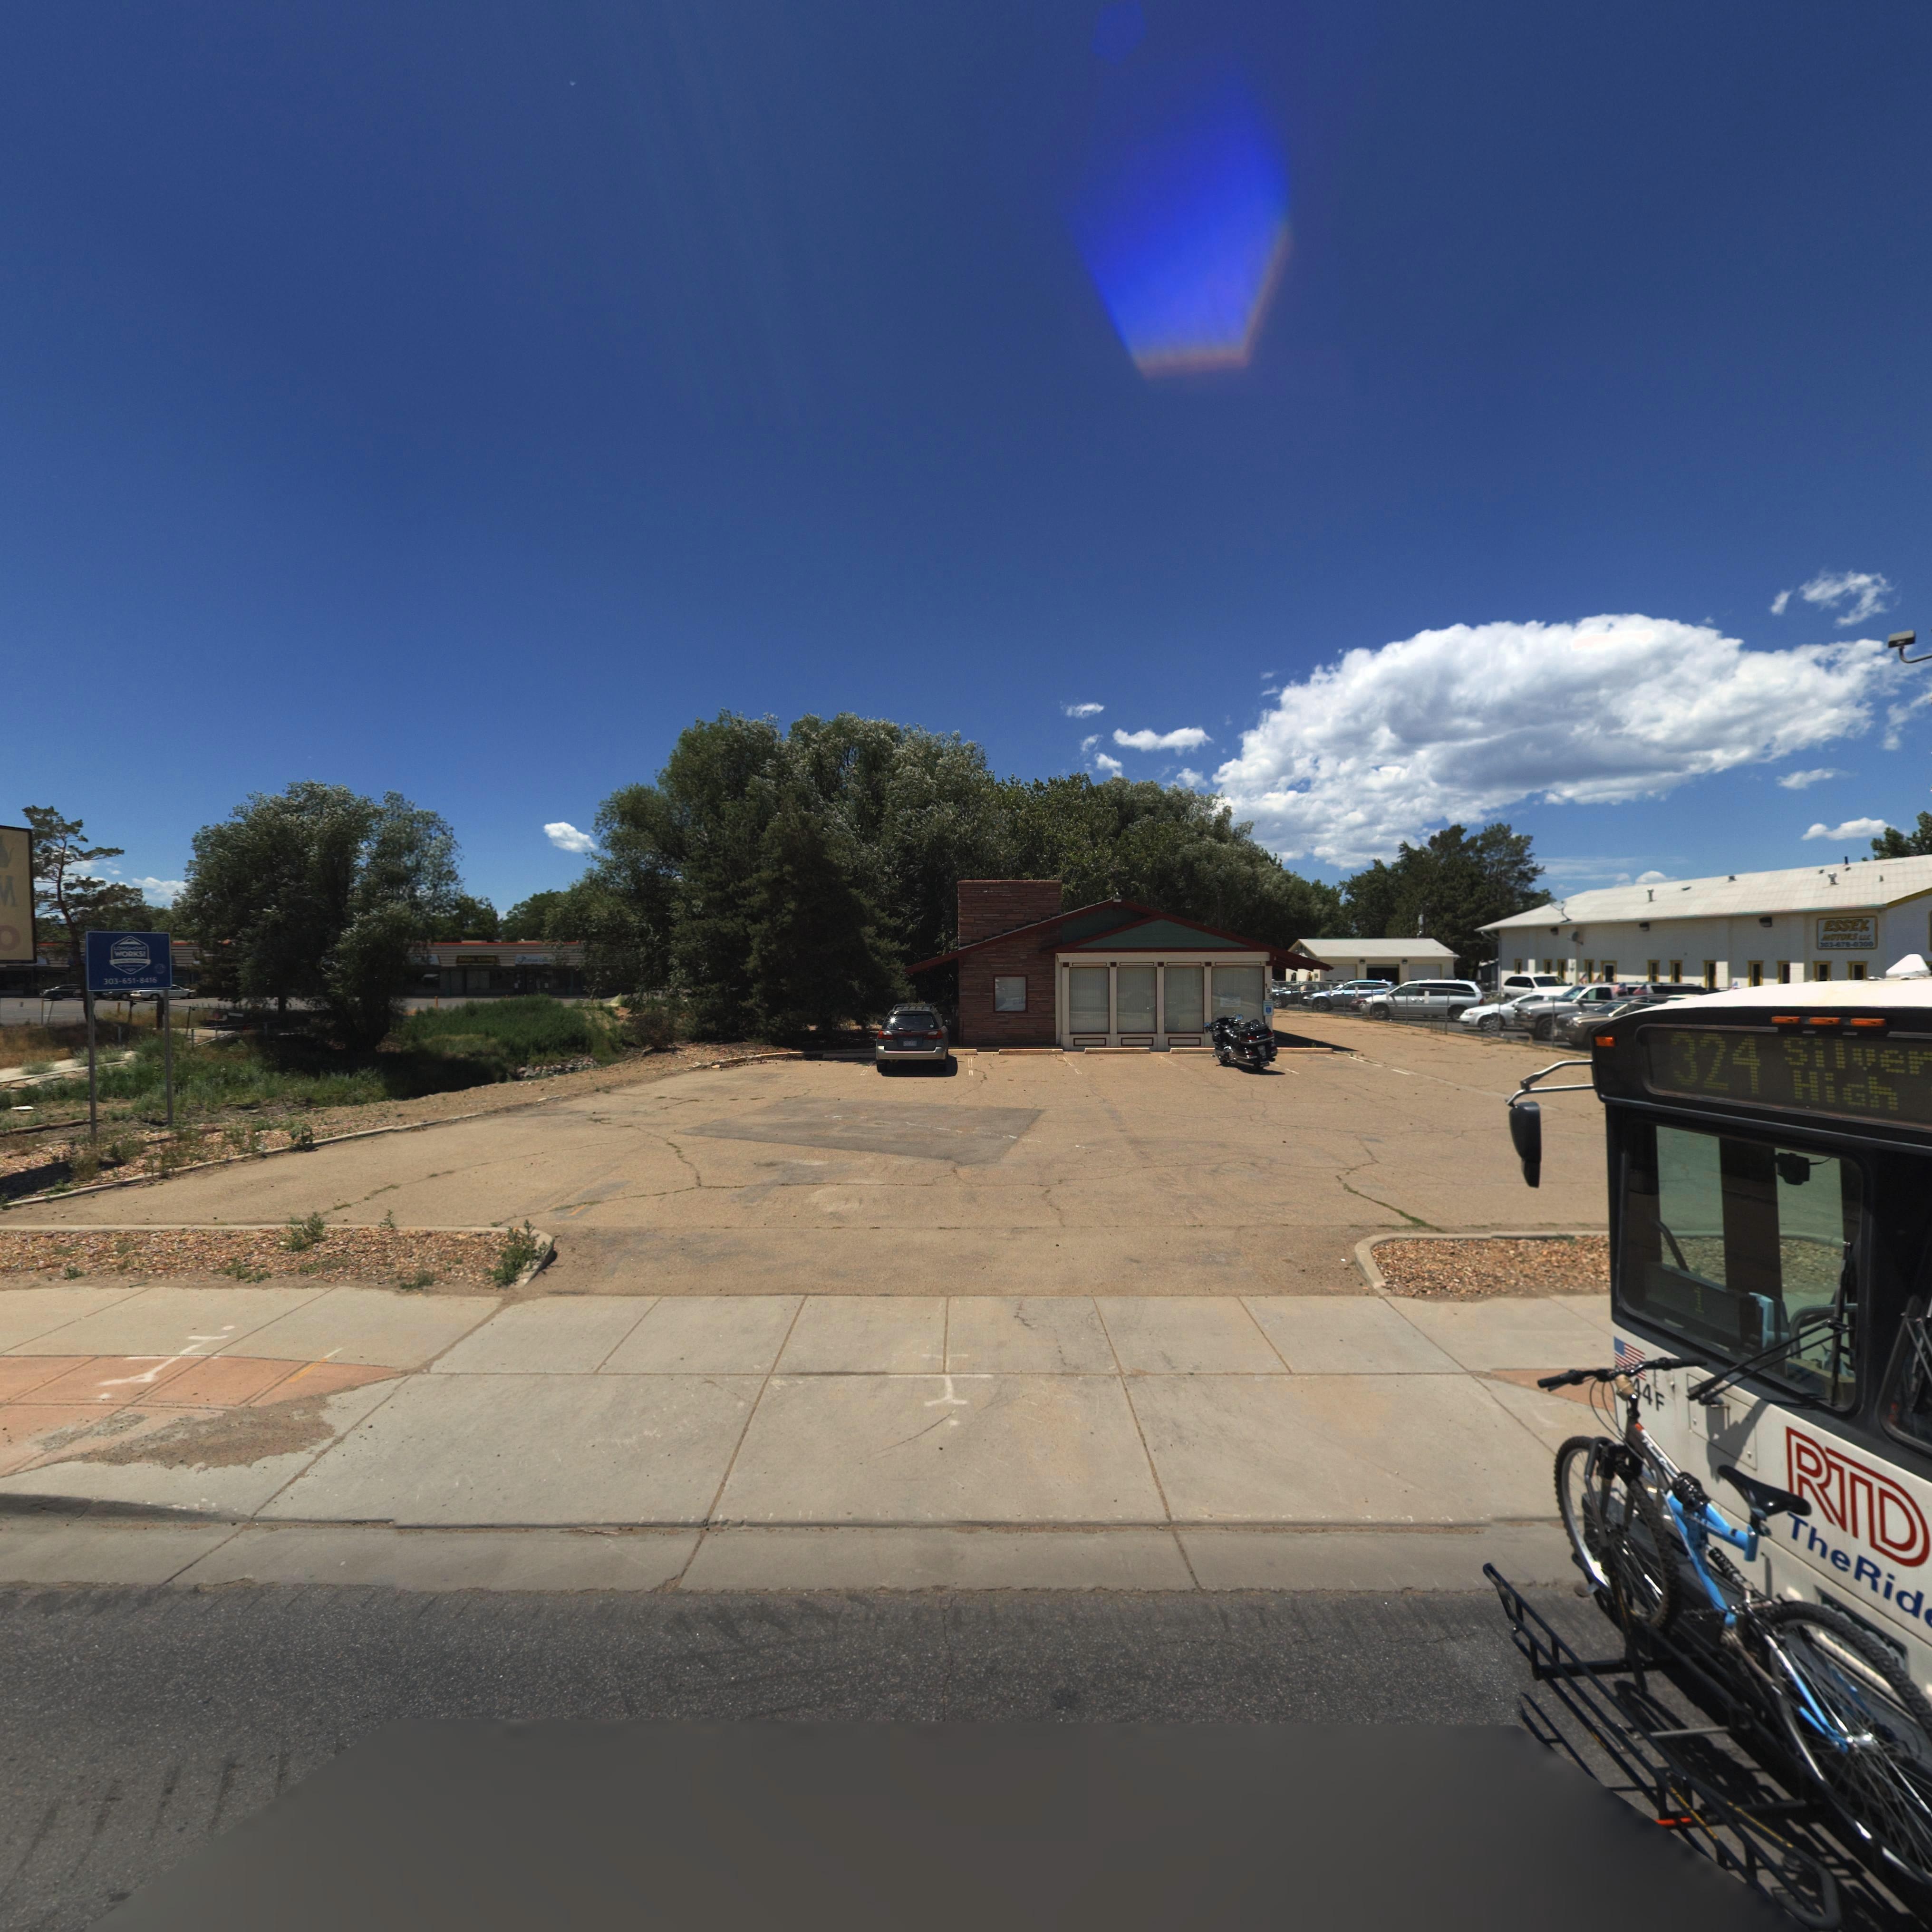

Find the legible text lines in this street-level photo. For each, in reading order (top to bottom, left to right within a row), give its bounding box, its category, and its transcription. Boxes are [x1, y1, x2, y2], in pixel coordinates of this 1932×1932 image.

[1822, 918, 1870, 932] BusinessName: ESSEX
[1820, 933, 1872, 940] BusinessName: MOTORS LLC
[517, 955, 555, 964] BusinessName: P****
[1265, 982, 1272, 999] StreetNumber: 133